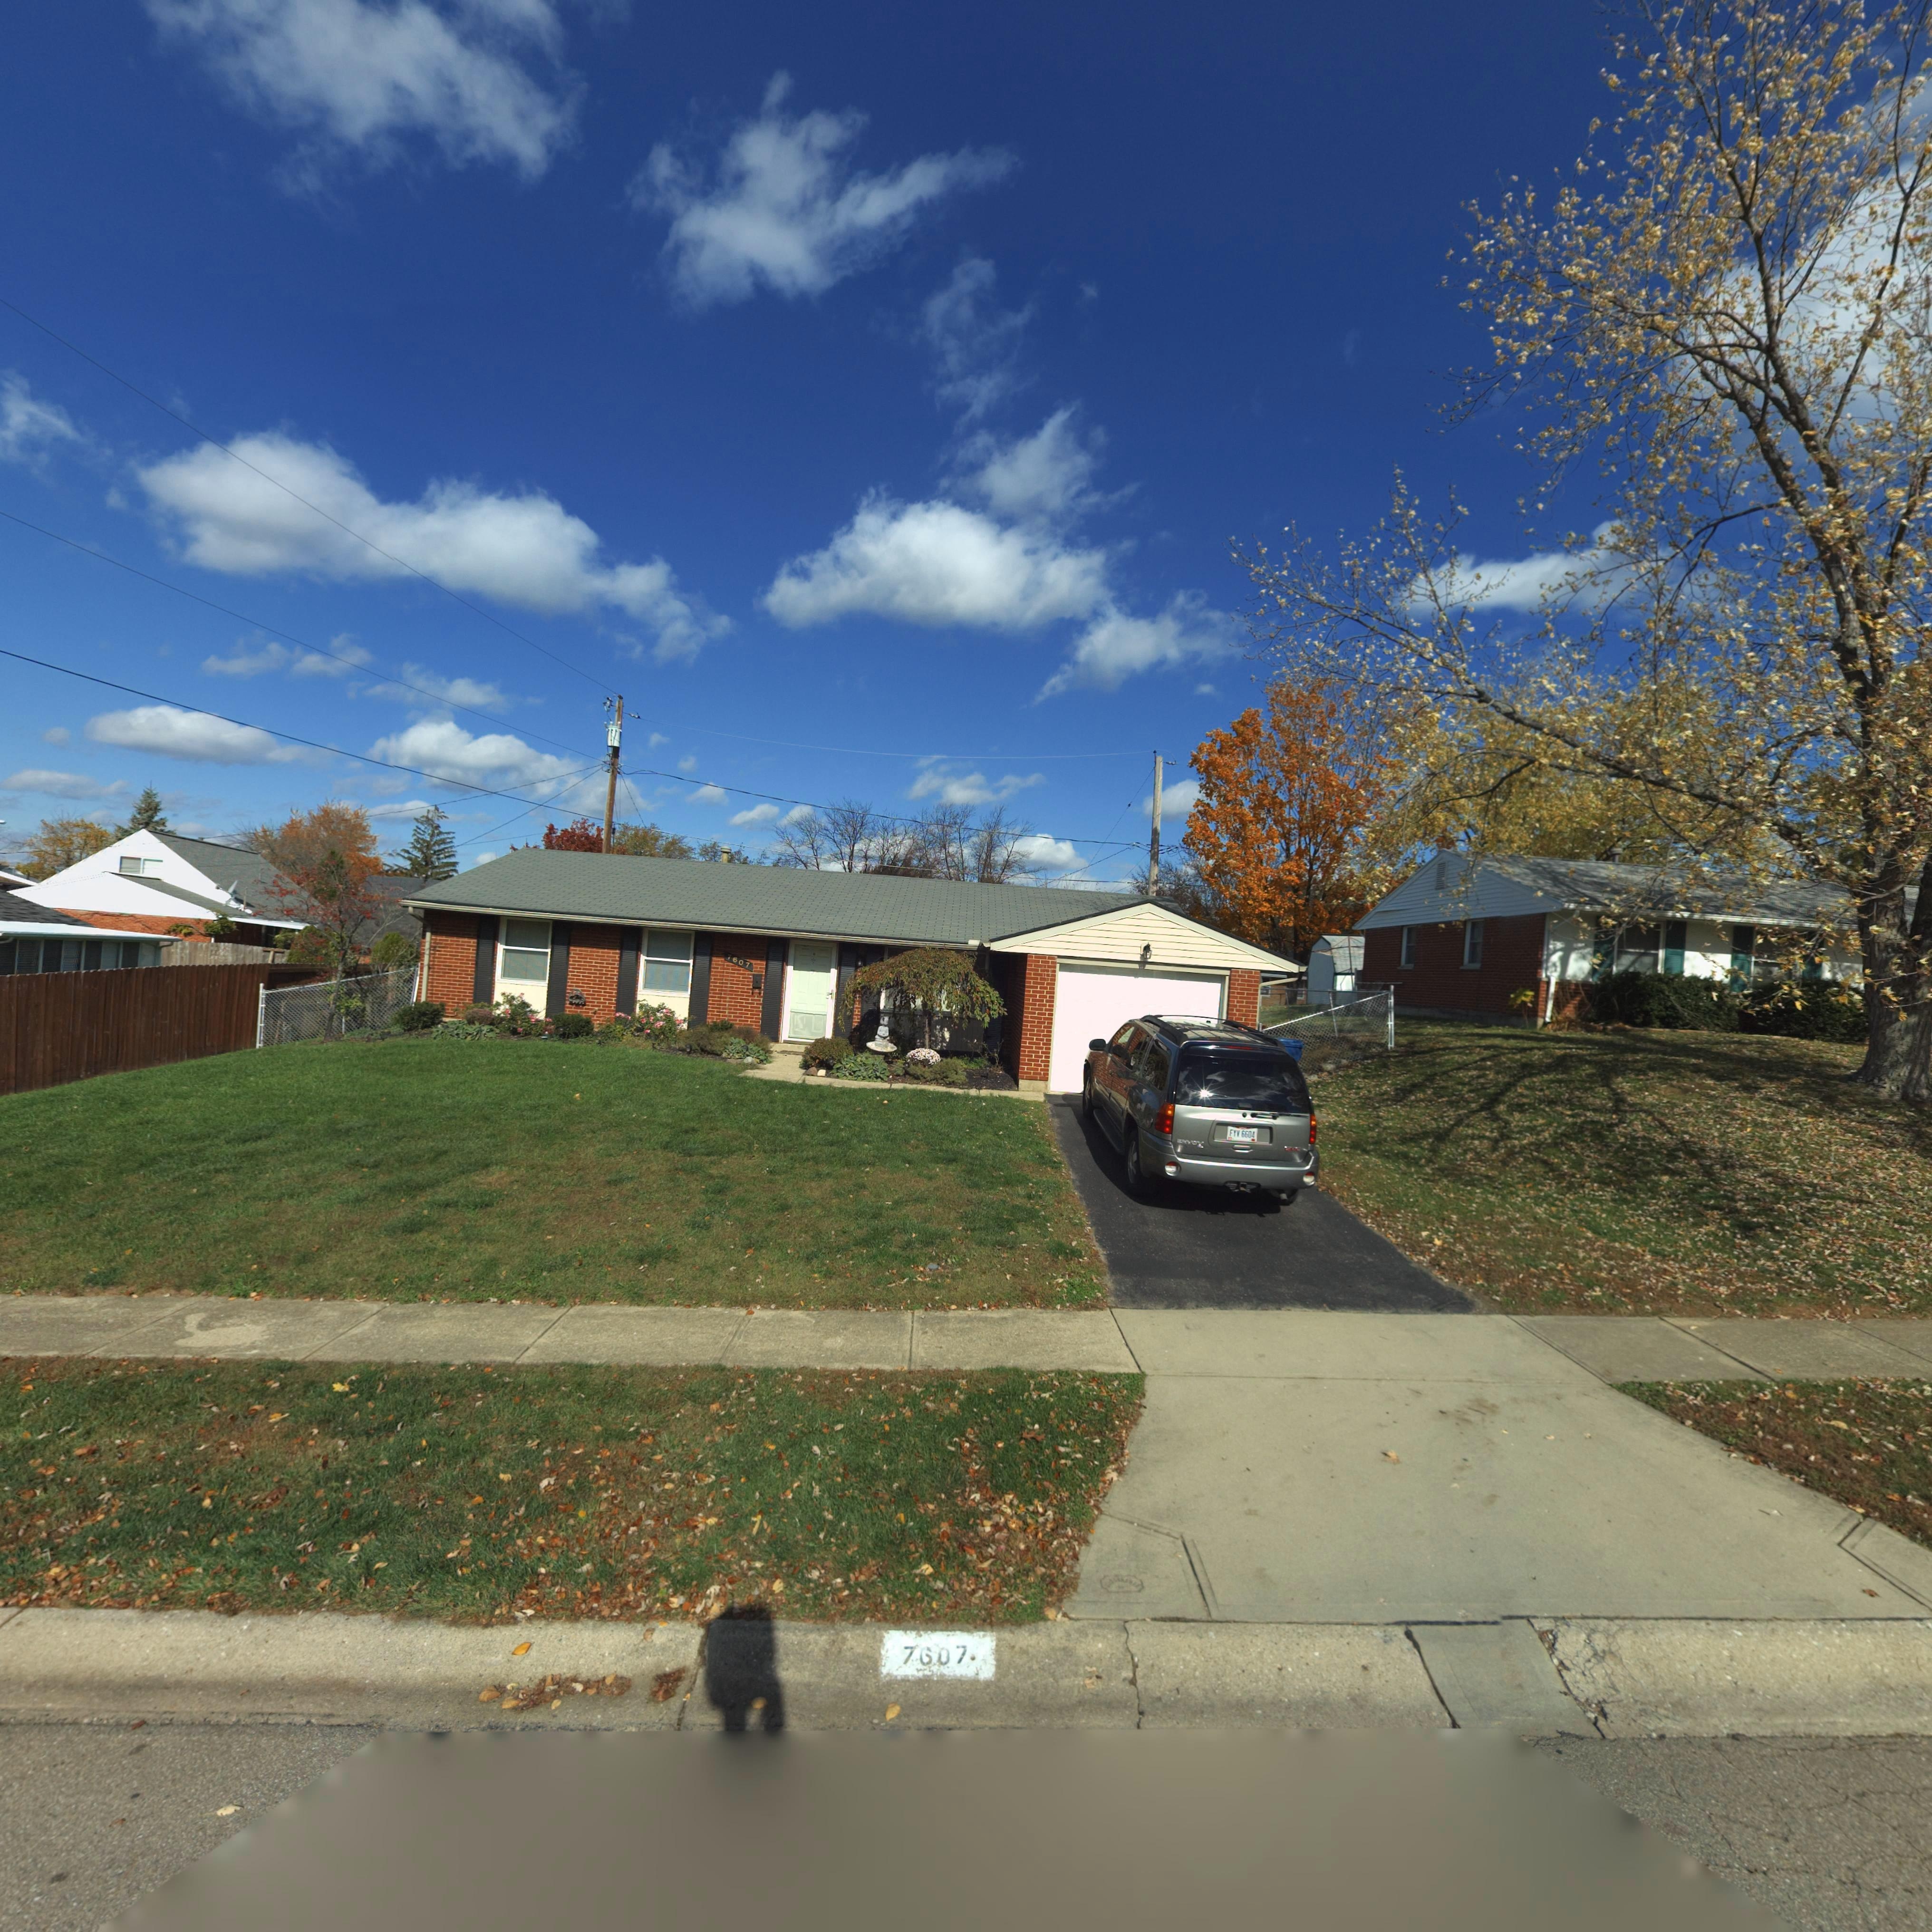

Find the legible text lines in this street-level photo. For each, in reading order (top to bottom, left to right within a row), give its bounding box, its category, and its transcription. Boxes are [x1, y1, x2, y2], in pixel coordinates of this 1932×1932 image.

[727, 952, 752, 969] StreetNumber: 7607
[902, 1644, 969, 1666] StreetNumber: 7607